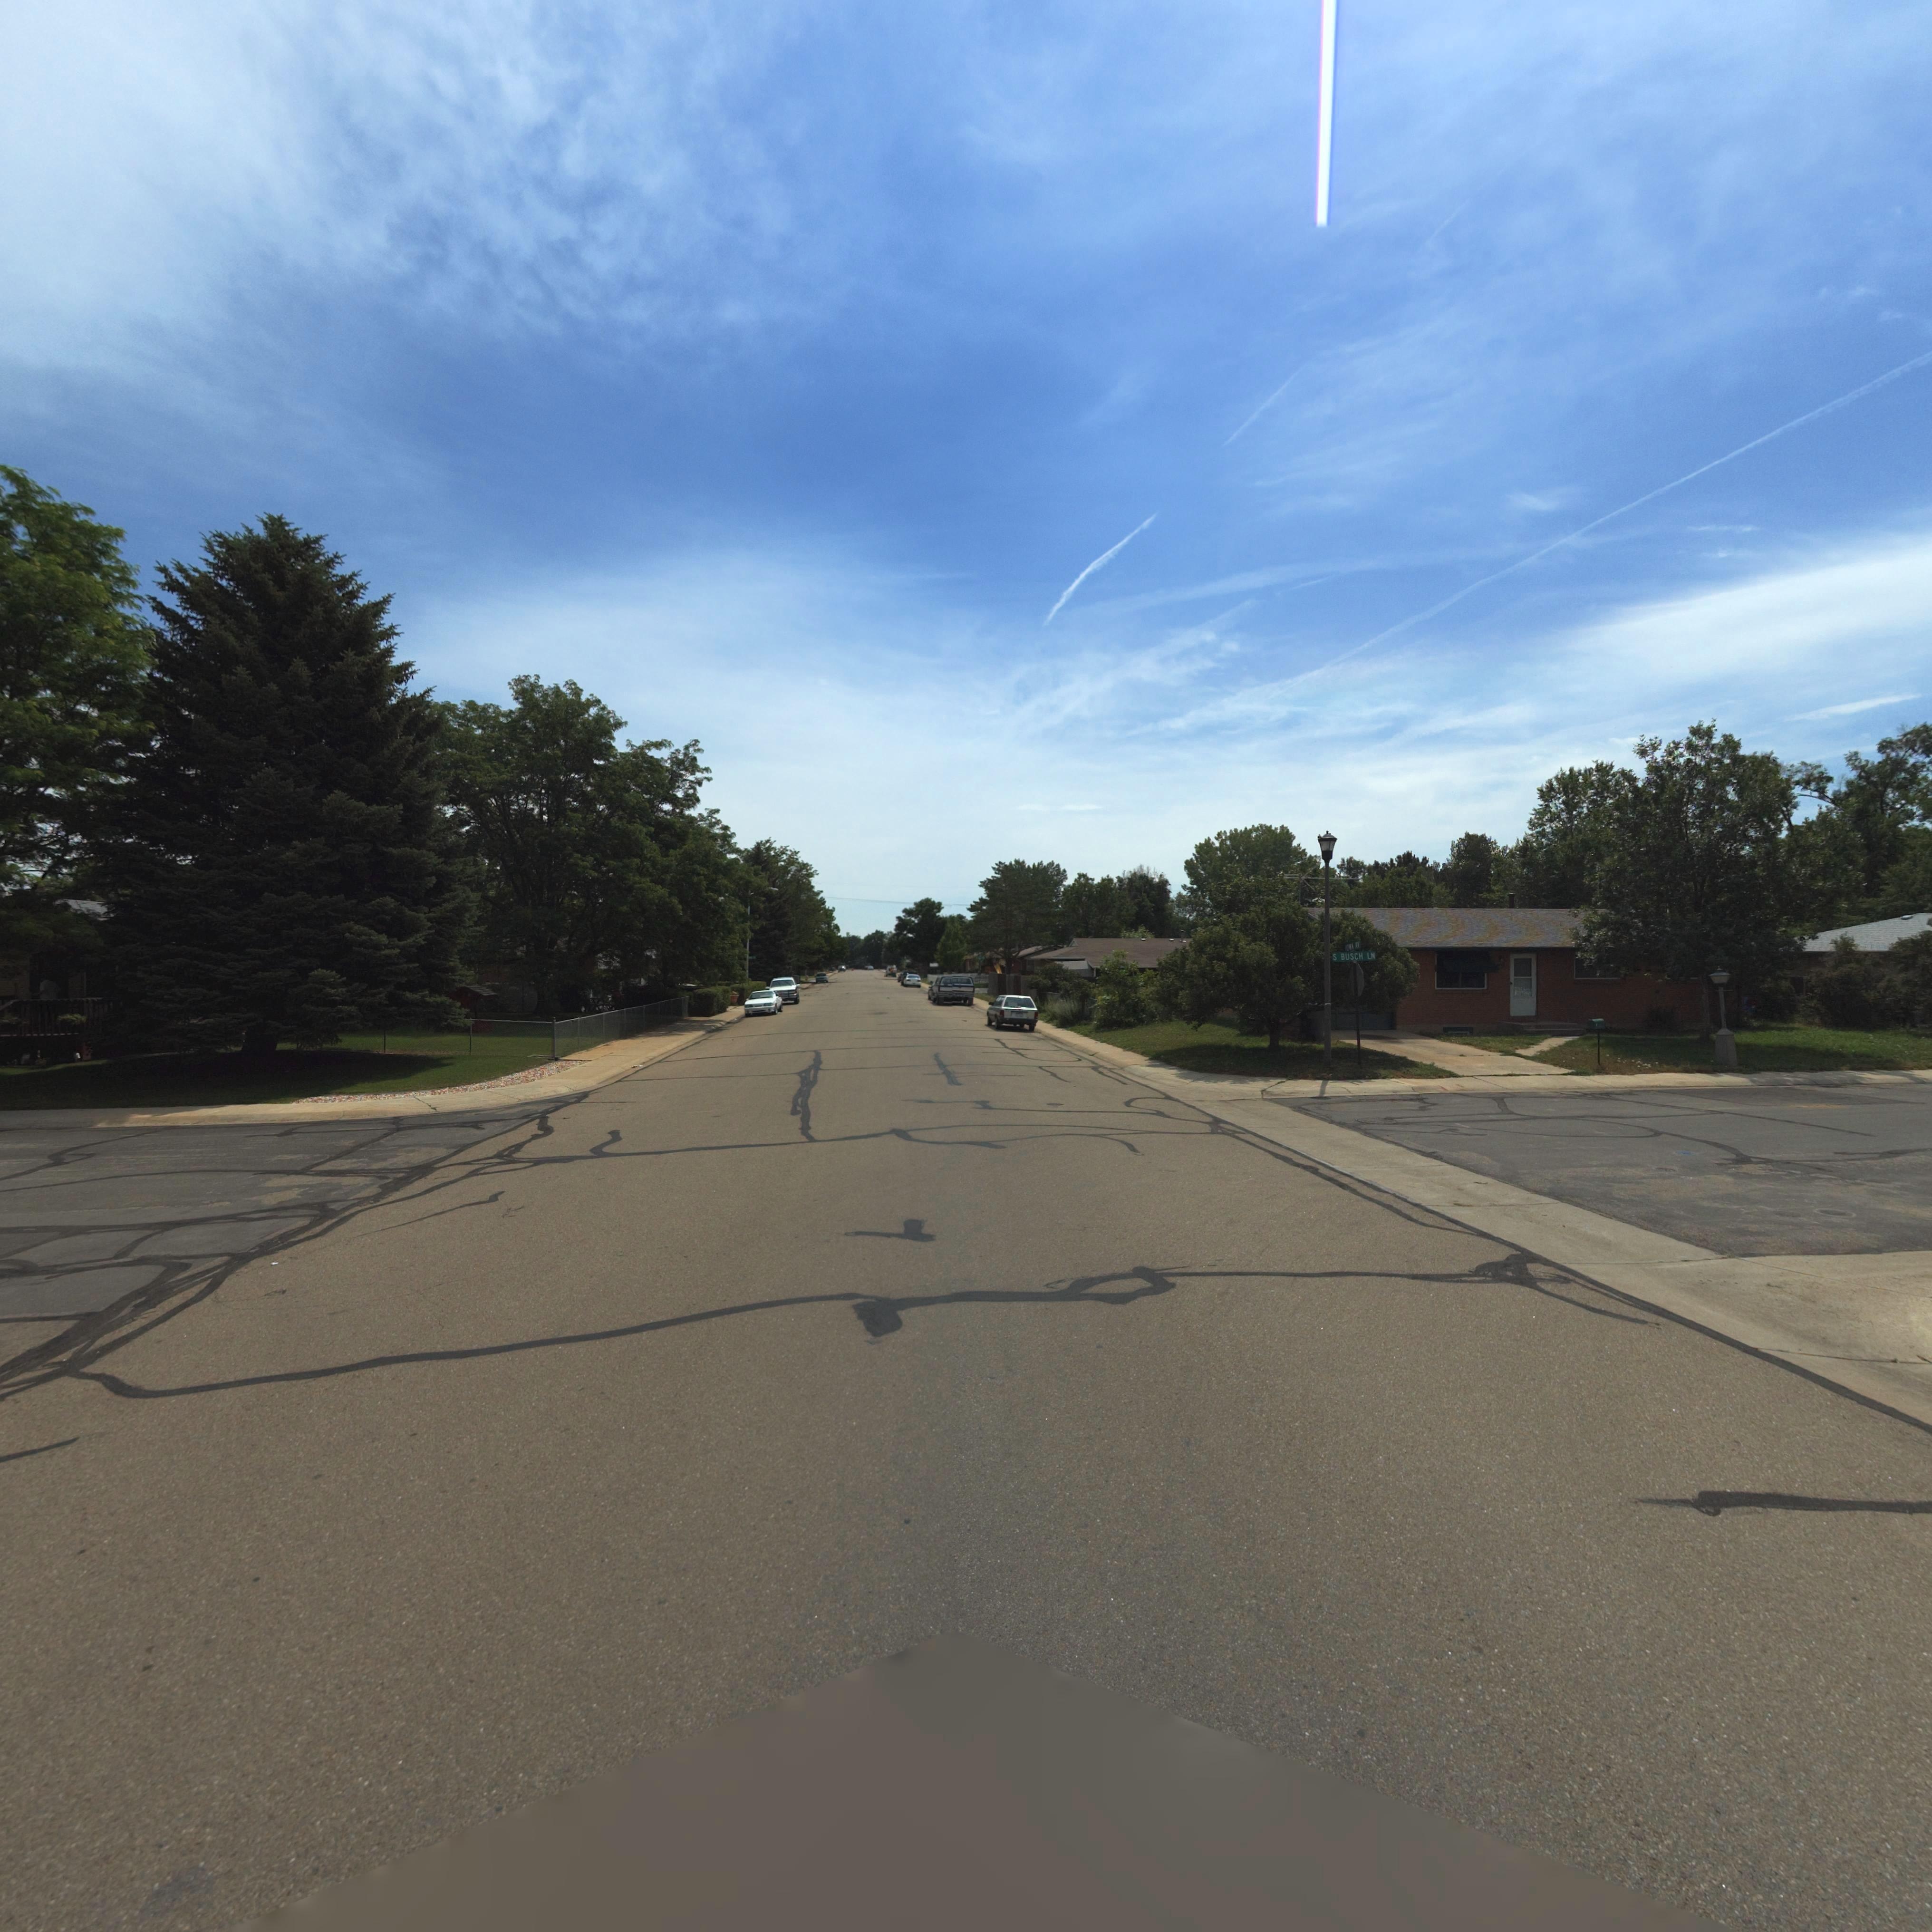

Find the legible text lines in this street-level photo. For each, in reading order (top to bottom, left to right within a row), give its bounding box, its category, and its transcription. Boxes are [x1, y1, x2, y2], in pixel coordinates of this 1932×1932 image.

[1344, 941, 1360, 952] StreetName: IOWA AV
[1333, 952, 1375, 961] StreetName: S BUSCH LN